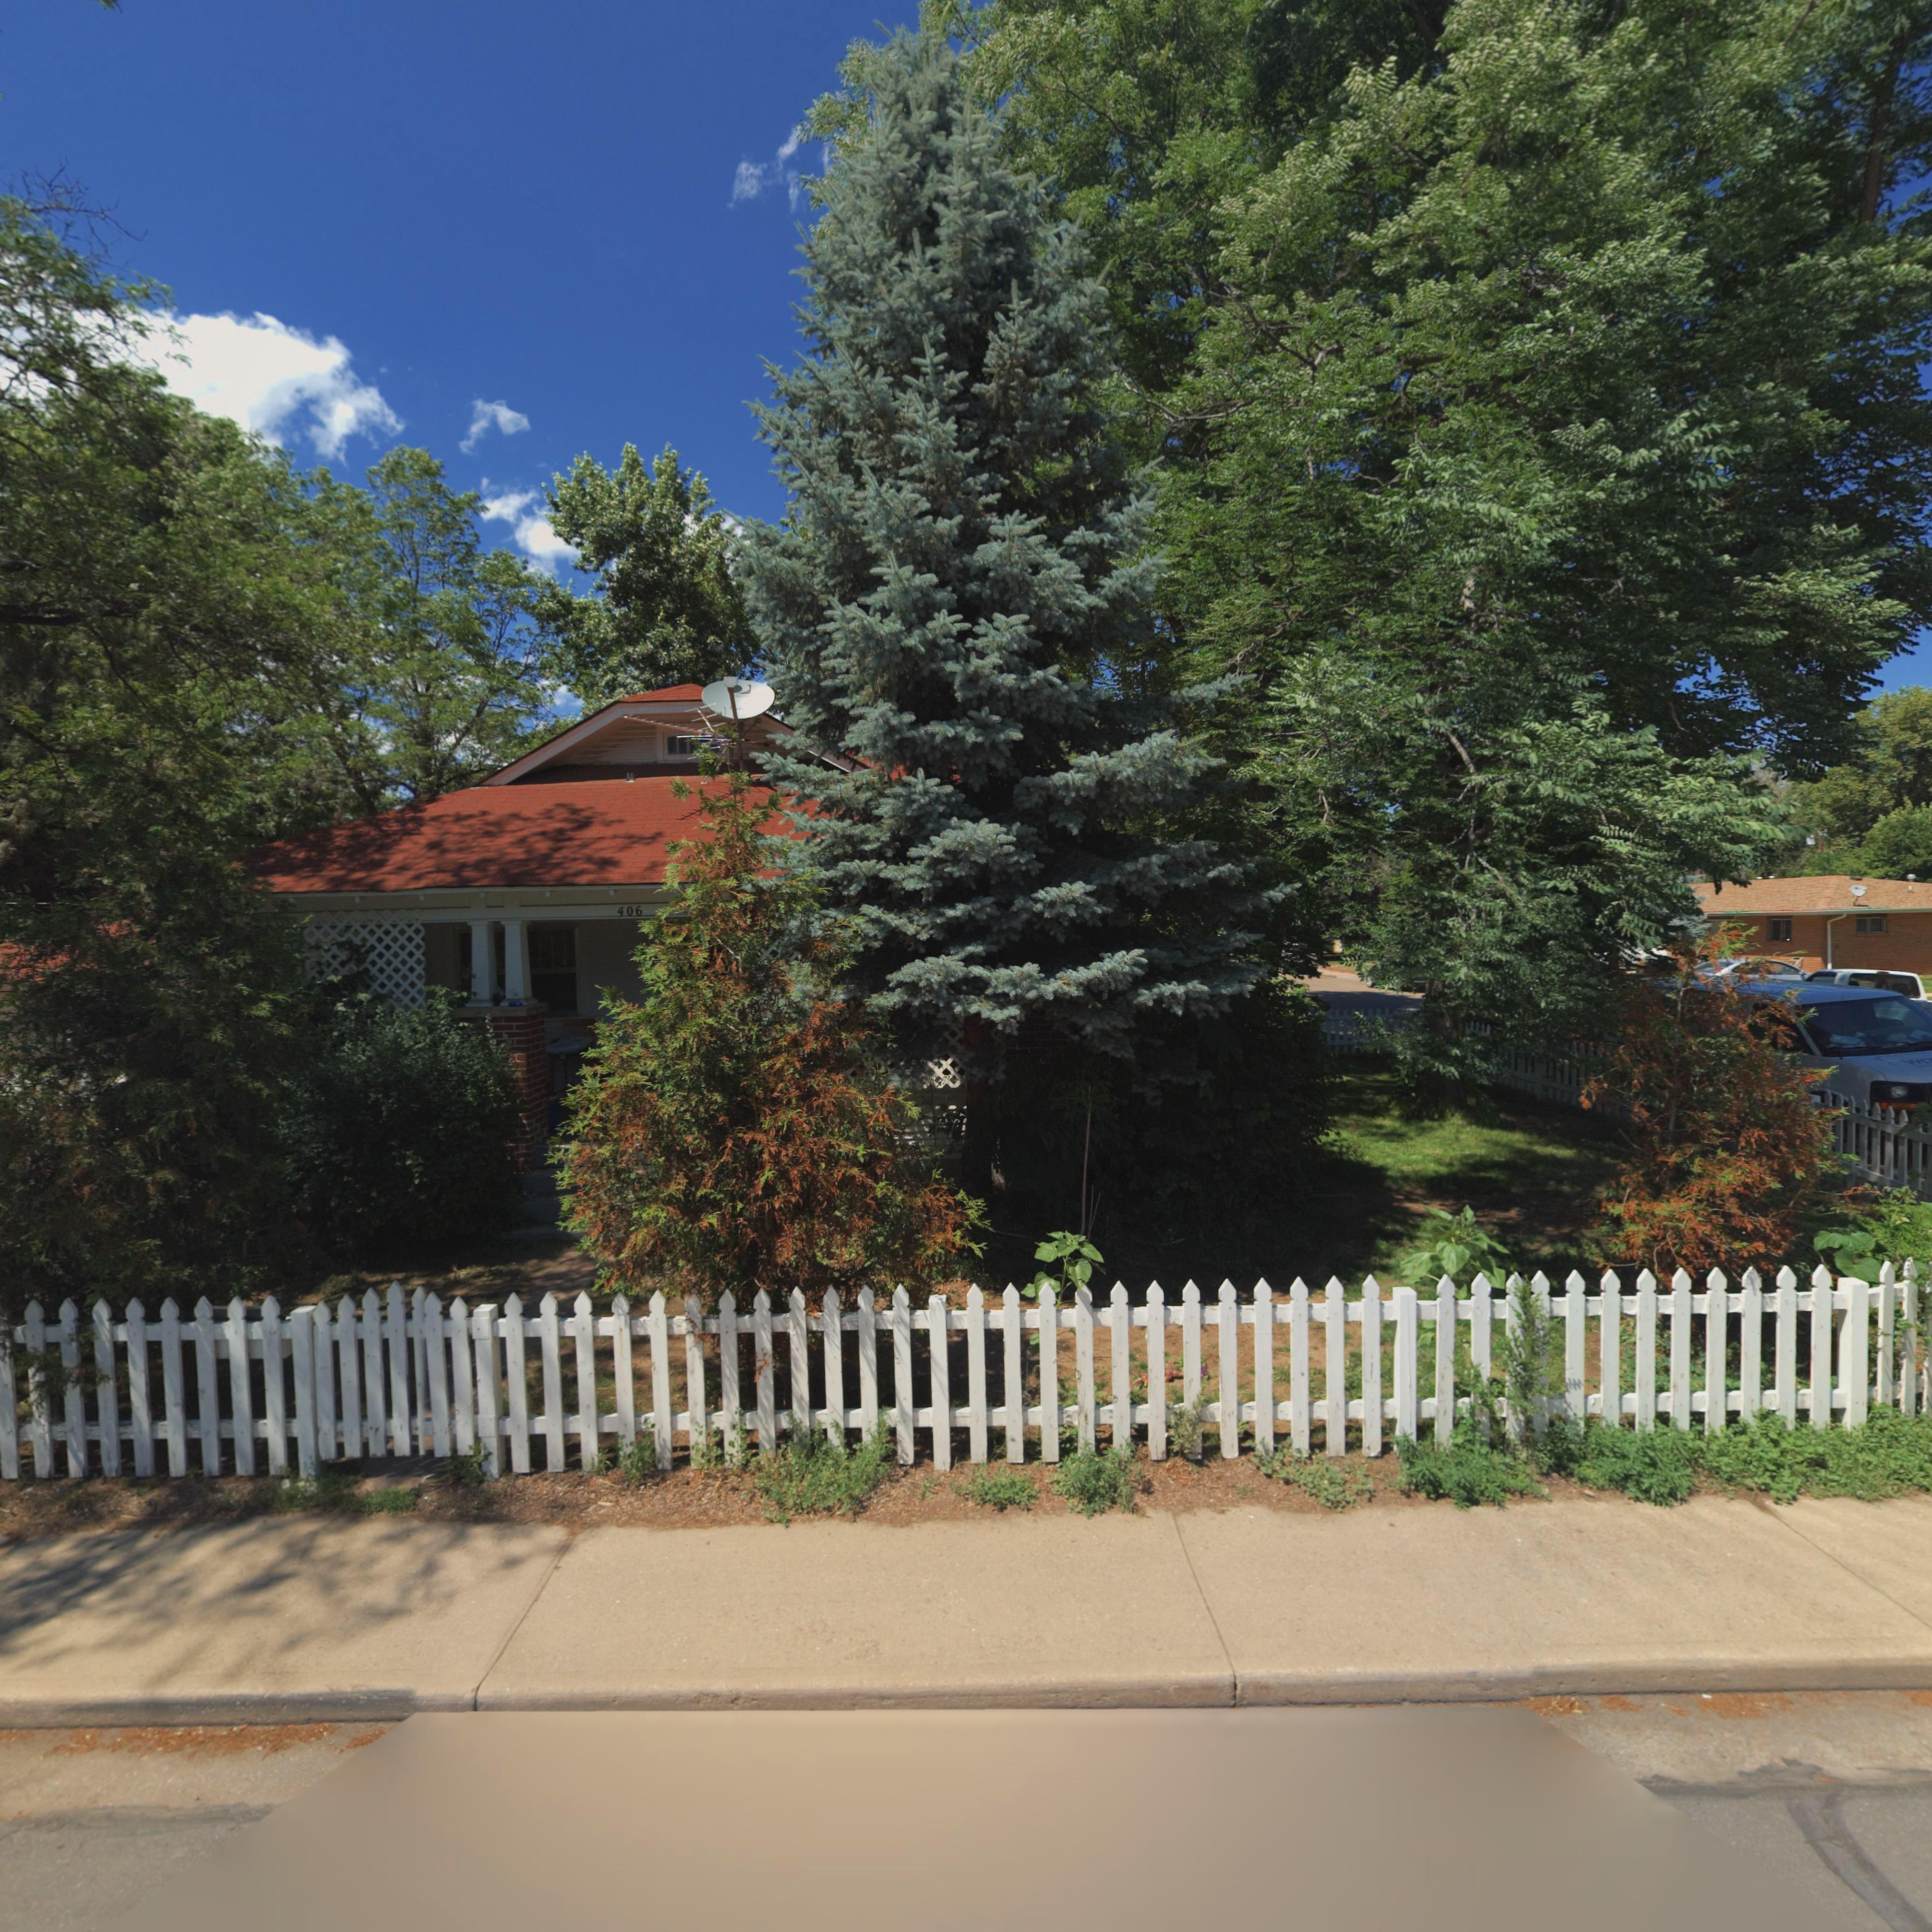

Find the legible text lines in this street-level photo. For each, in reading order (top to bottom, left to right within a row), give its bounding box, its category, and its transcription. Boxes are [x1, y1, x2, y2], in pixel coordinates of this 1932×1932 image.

[617, 905, 642, 916] StreetNumber: 406